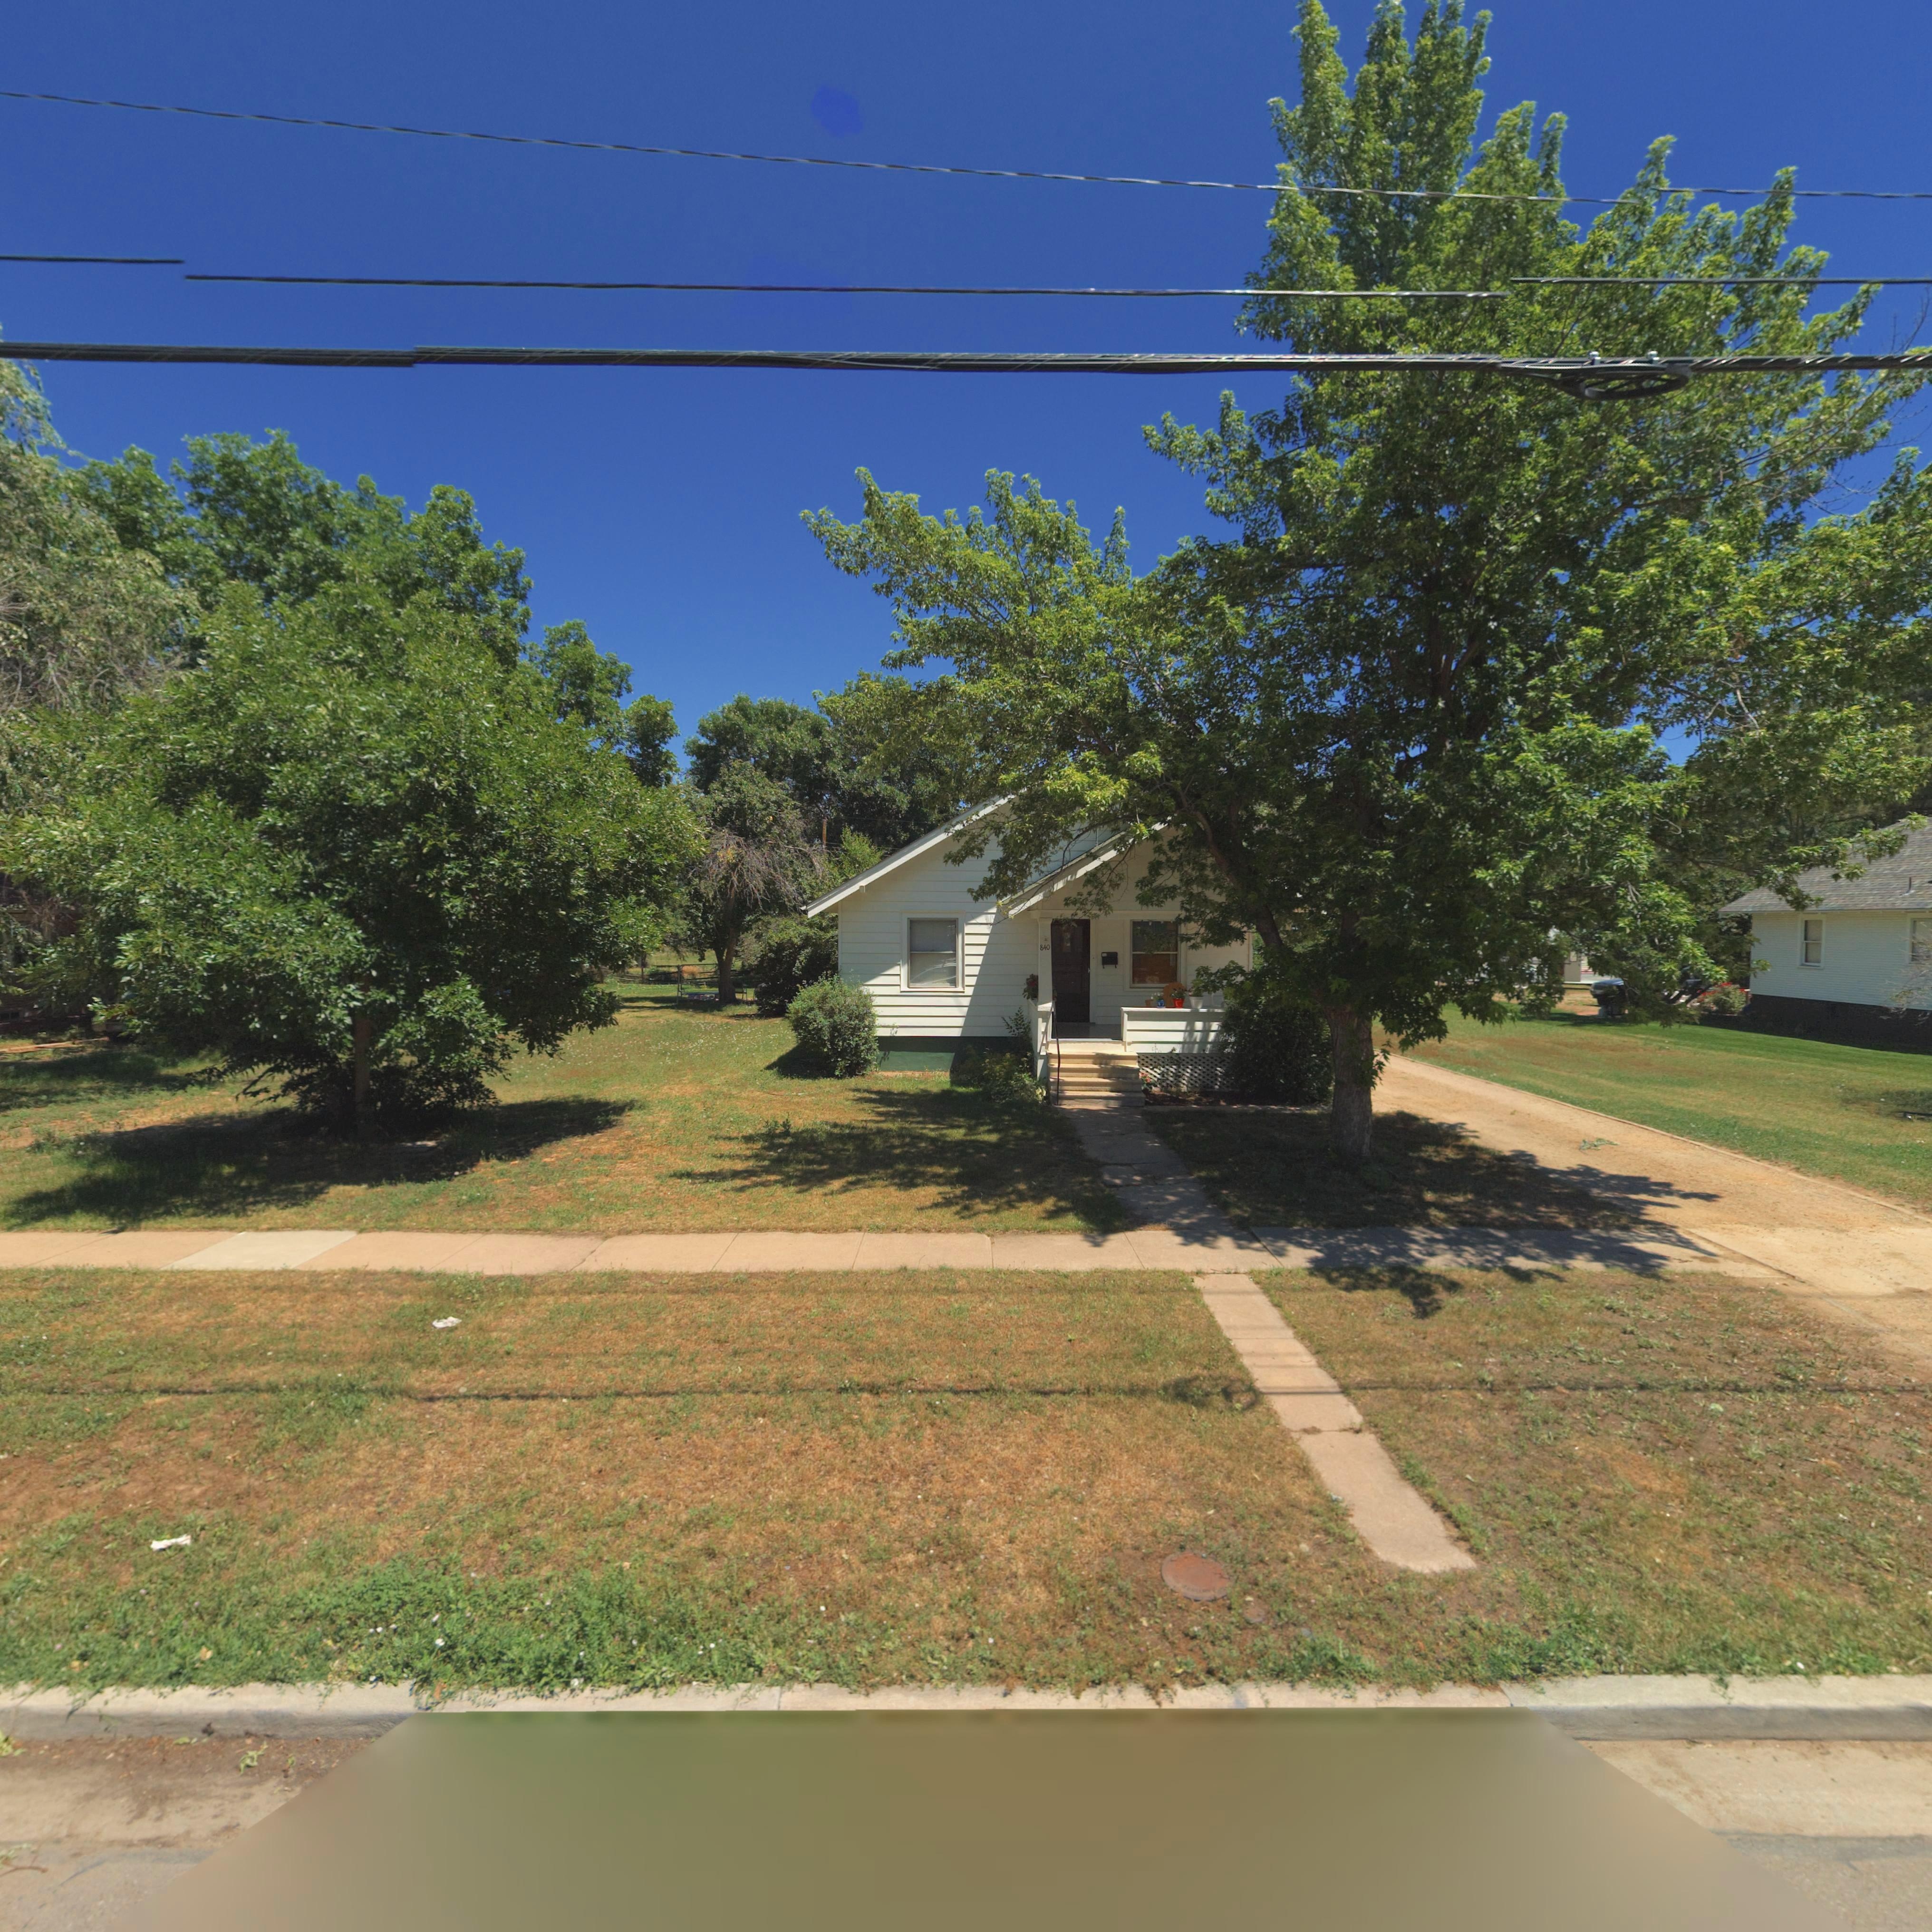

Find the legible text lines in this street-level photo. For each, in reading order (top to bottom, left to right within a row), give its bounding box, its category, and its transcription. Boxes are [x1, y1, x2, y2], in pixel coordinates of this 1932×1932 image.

[1040, 944, 1050, 951] StreetNumber: 840